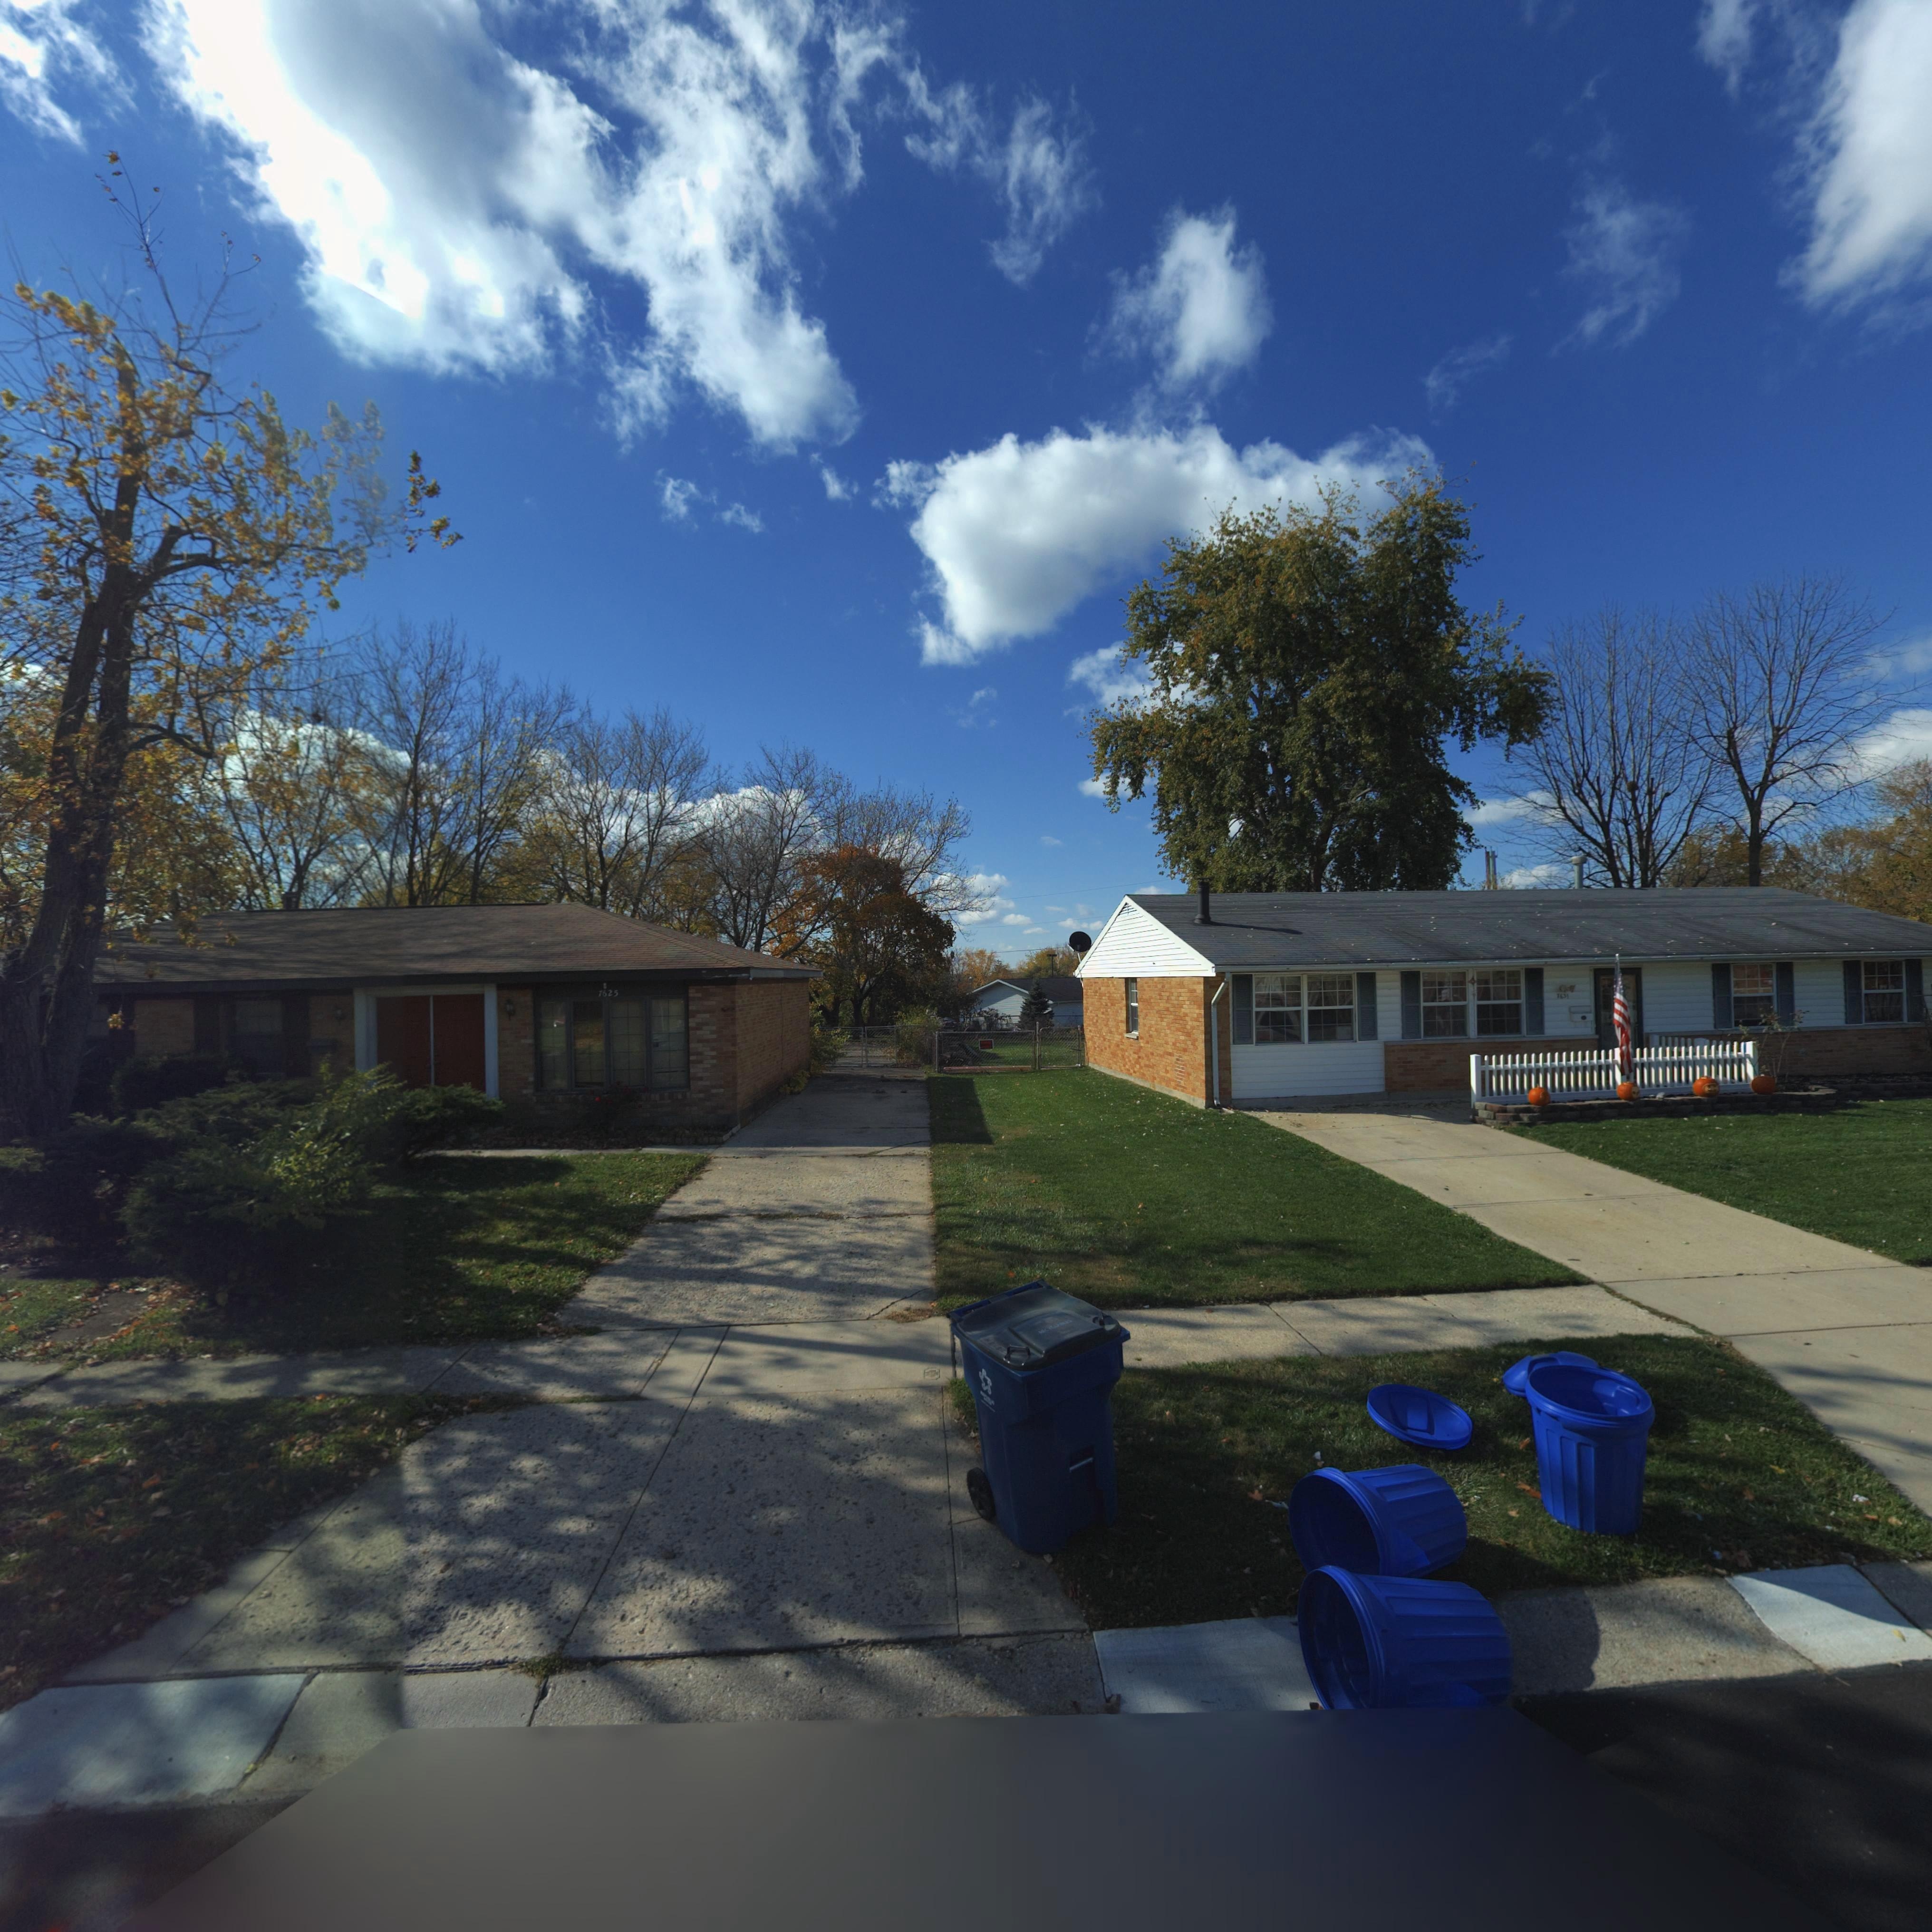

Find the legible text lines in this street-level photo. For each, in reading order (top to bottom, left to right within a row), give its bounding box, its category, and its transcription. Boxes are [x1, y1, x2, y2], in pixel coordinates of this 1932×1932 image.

[598, 989, 619, 997] StreetNumber: 7625
[1556, 993, 1570, 1000] StreetNumber: 7631